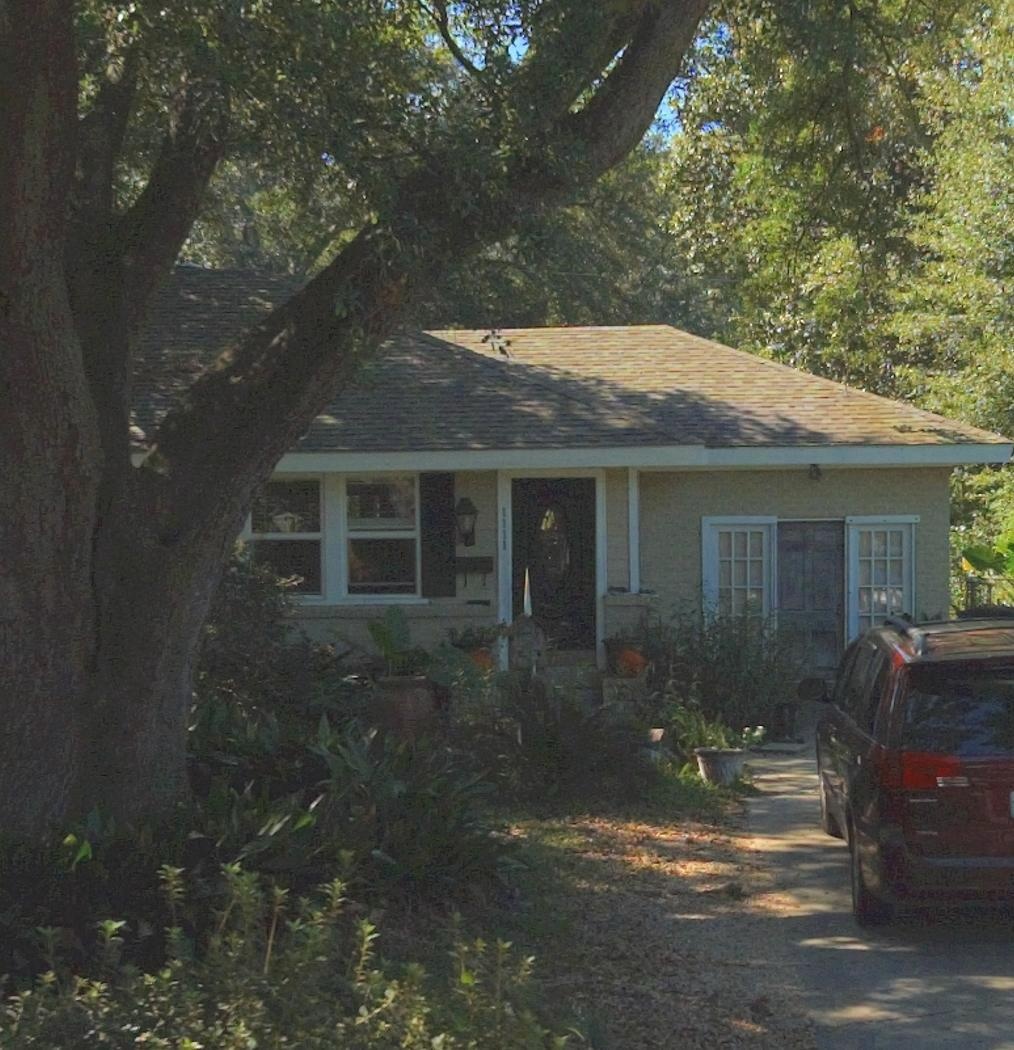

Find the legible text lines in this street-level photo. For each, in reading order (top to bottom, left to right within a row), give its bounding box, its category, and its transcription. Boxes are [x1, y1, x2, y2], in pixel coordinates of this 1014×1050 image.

[500, 504, 509, 550] StreetNumber: 1111